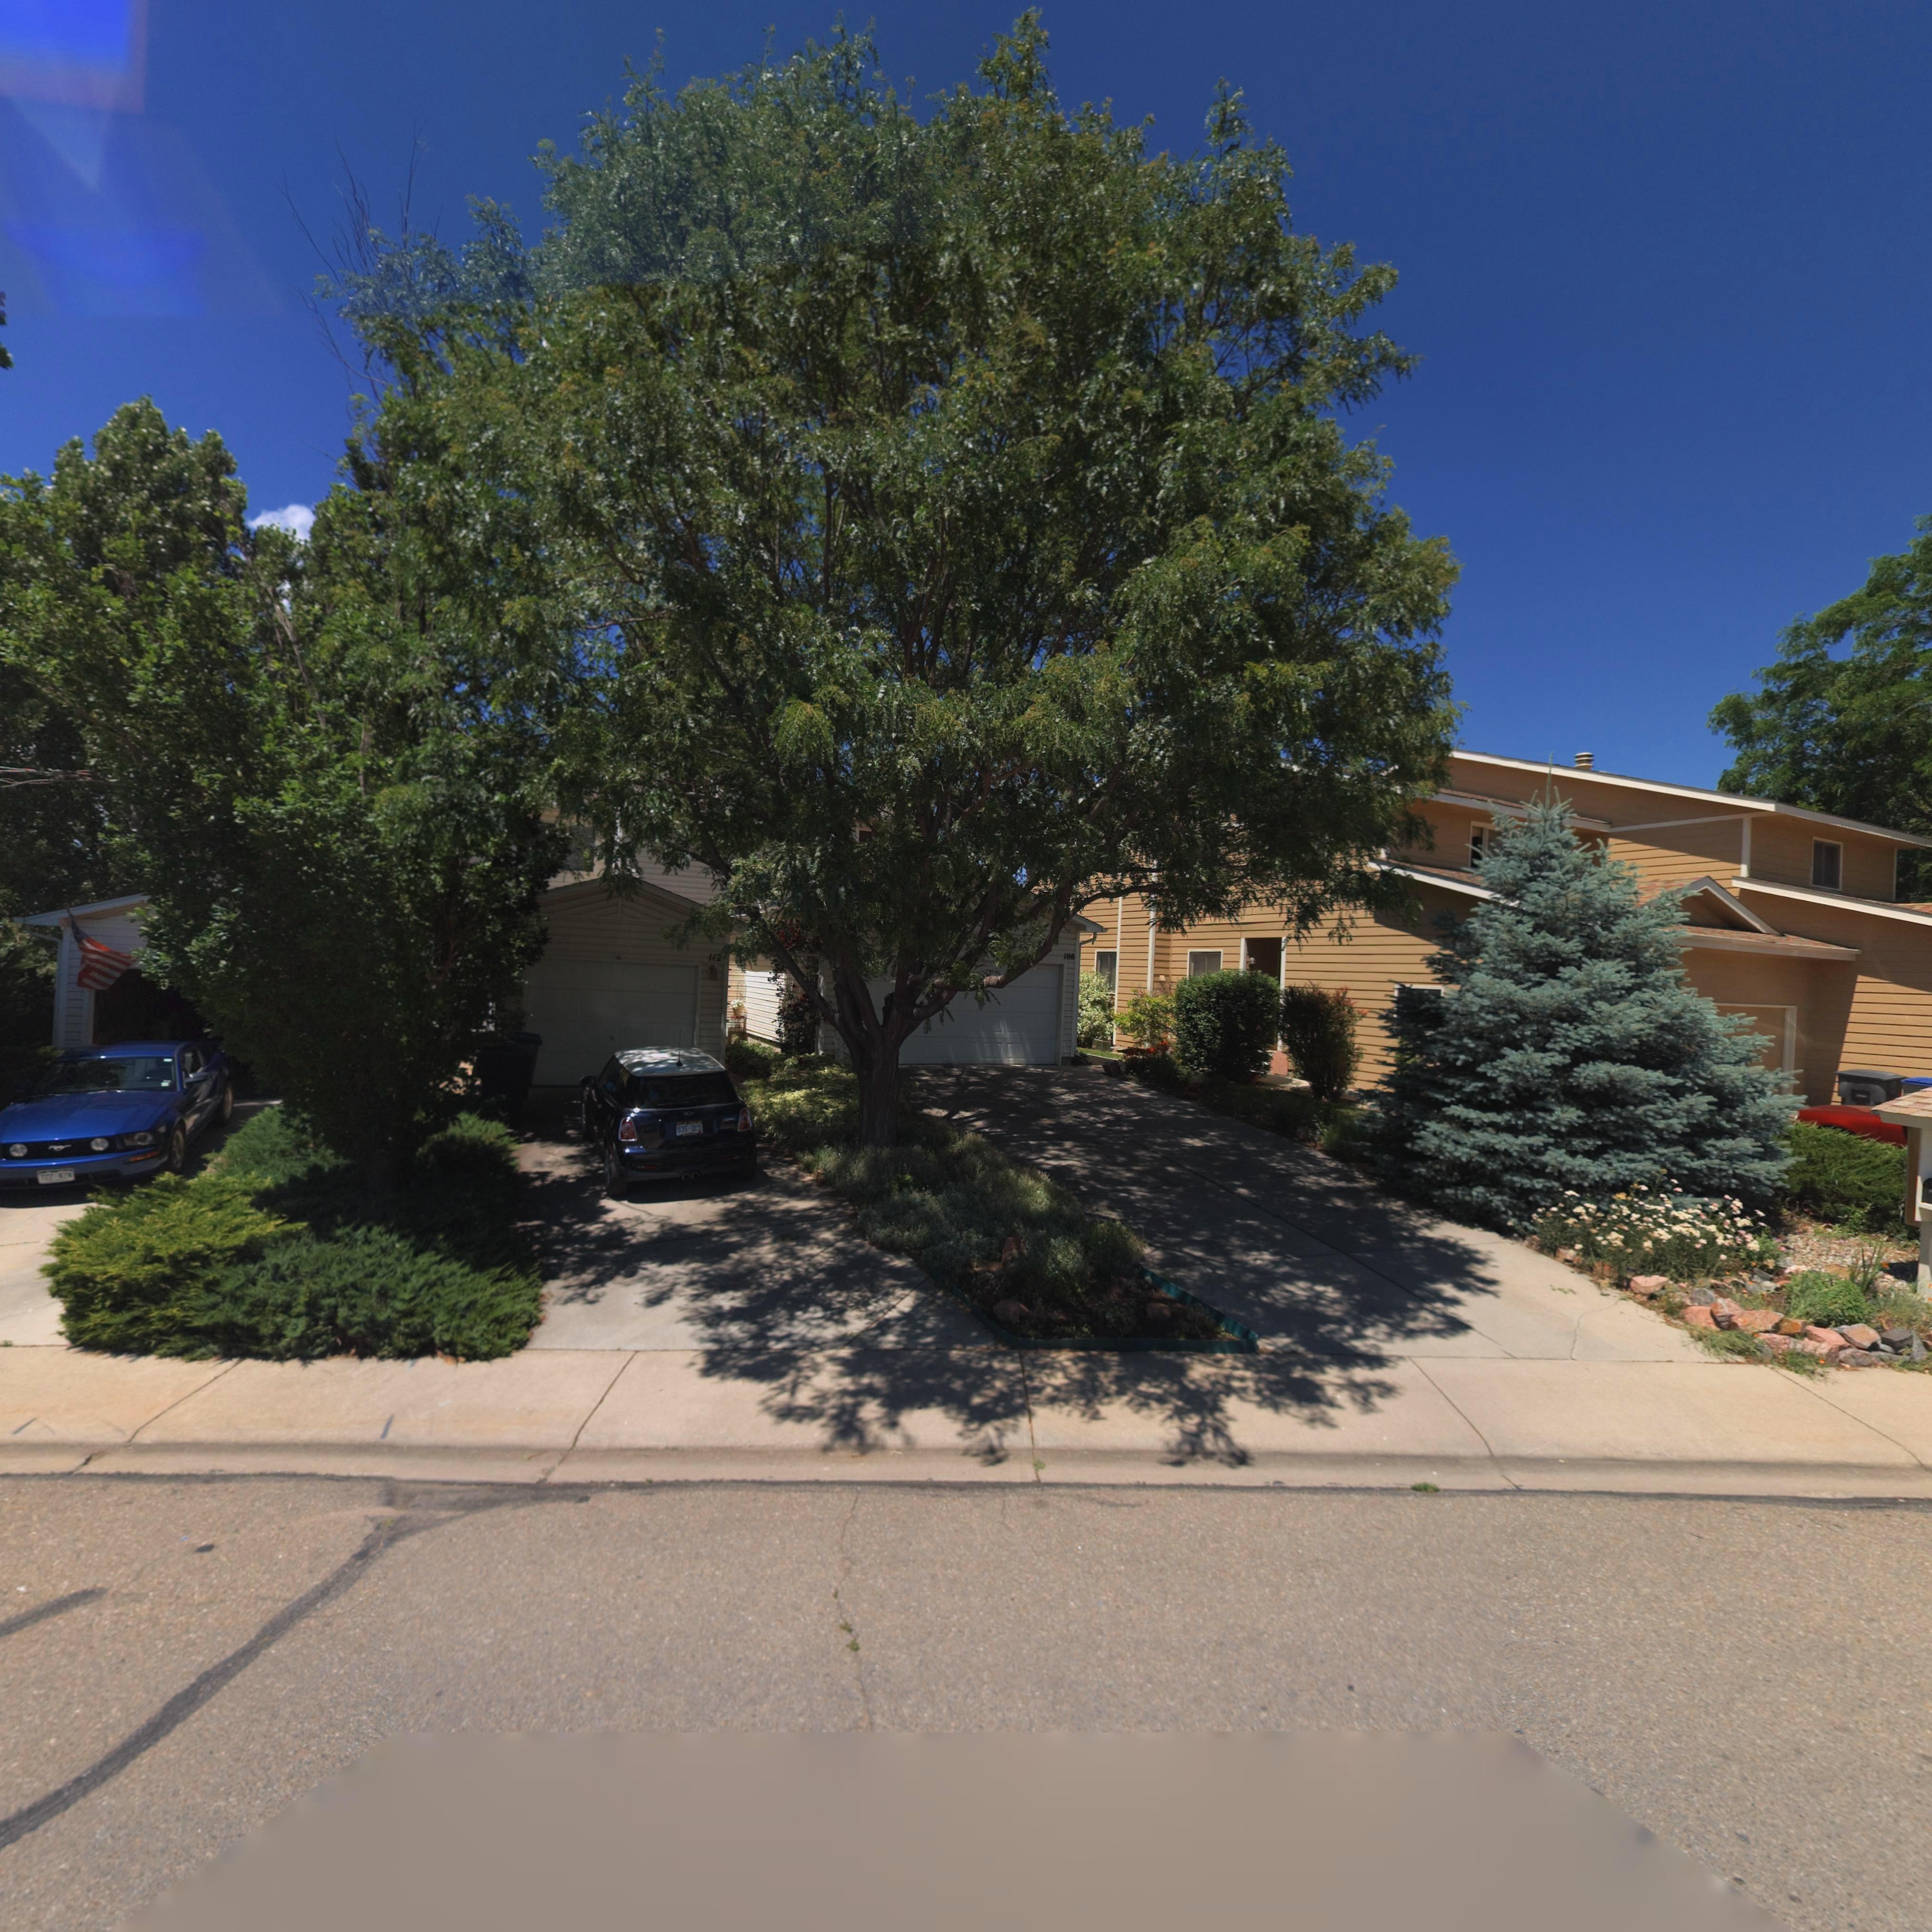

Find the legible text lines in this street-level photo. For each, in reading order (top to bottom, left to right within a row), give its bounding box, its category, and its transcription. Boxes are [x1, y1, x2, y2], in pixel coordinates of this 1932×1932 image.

[708, 952, 722, 962] StreetNumber: 112
[1063, 952, 1075, 960] StreetNumber: 108